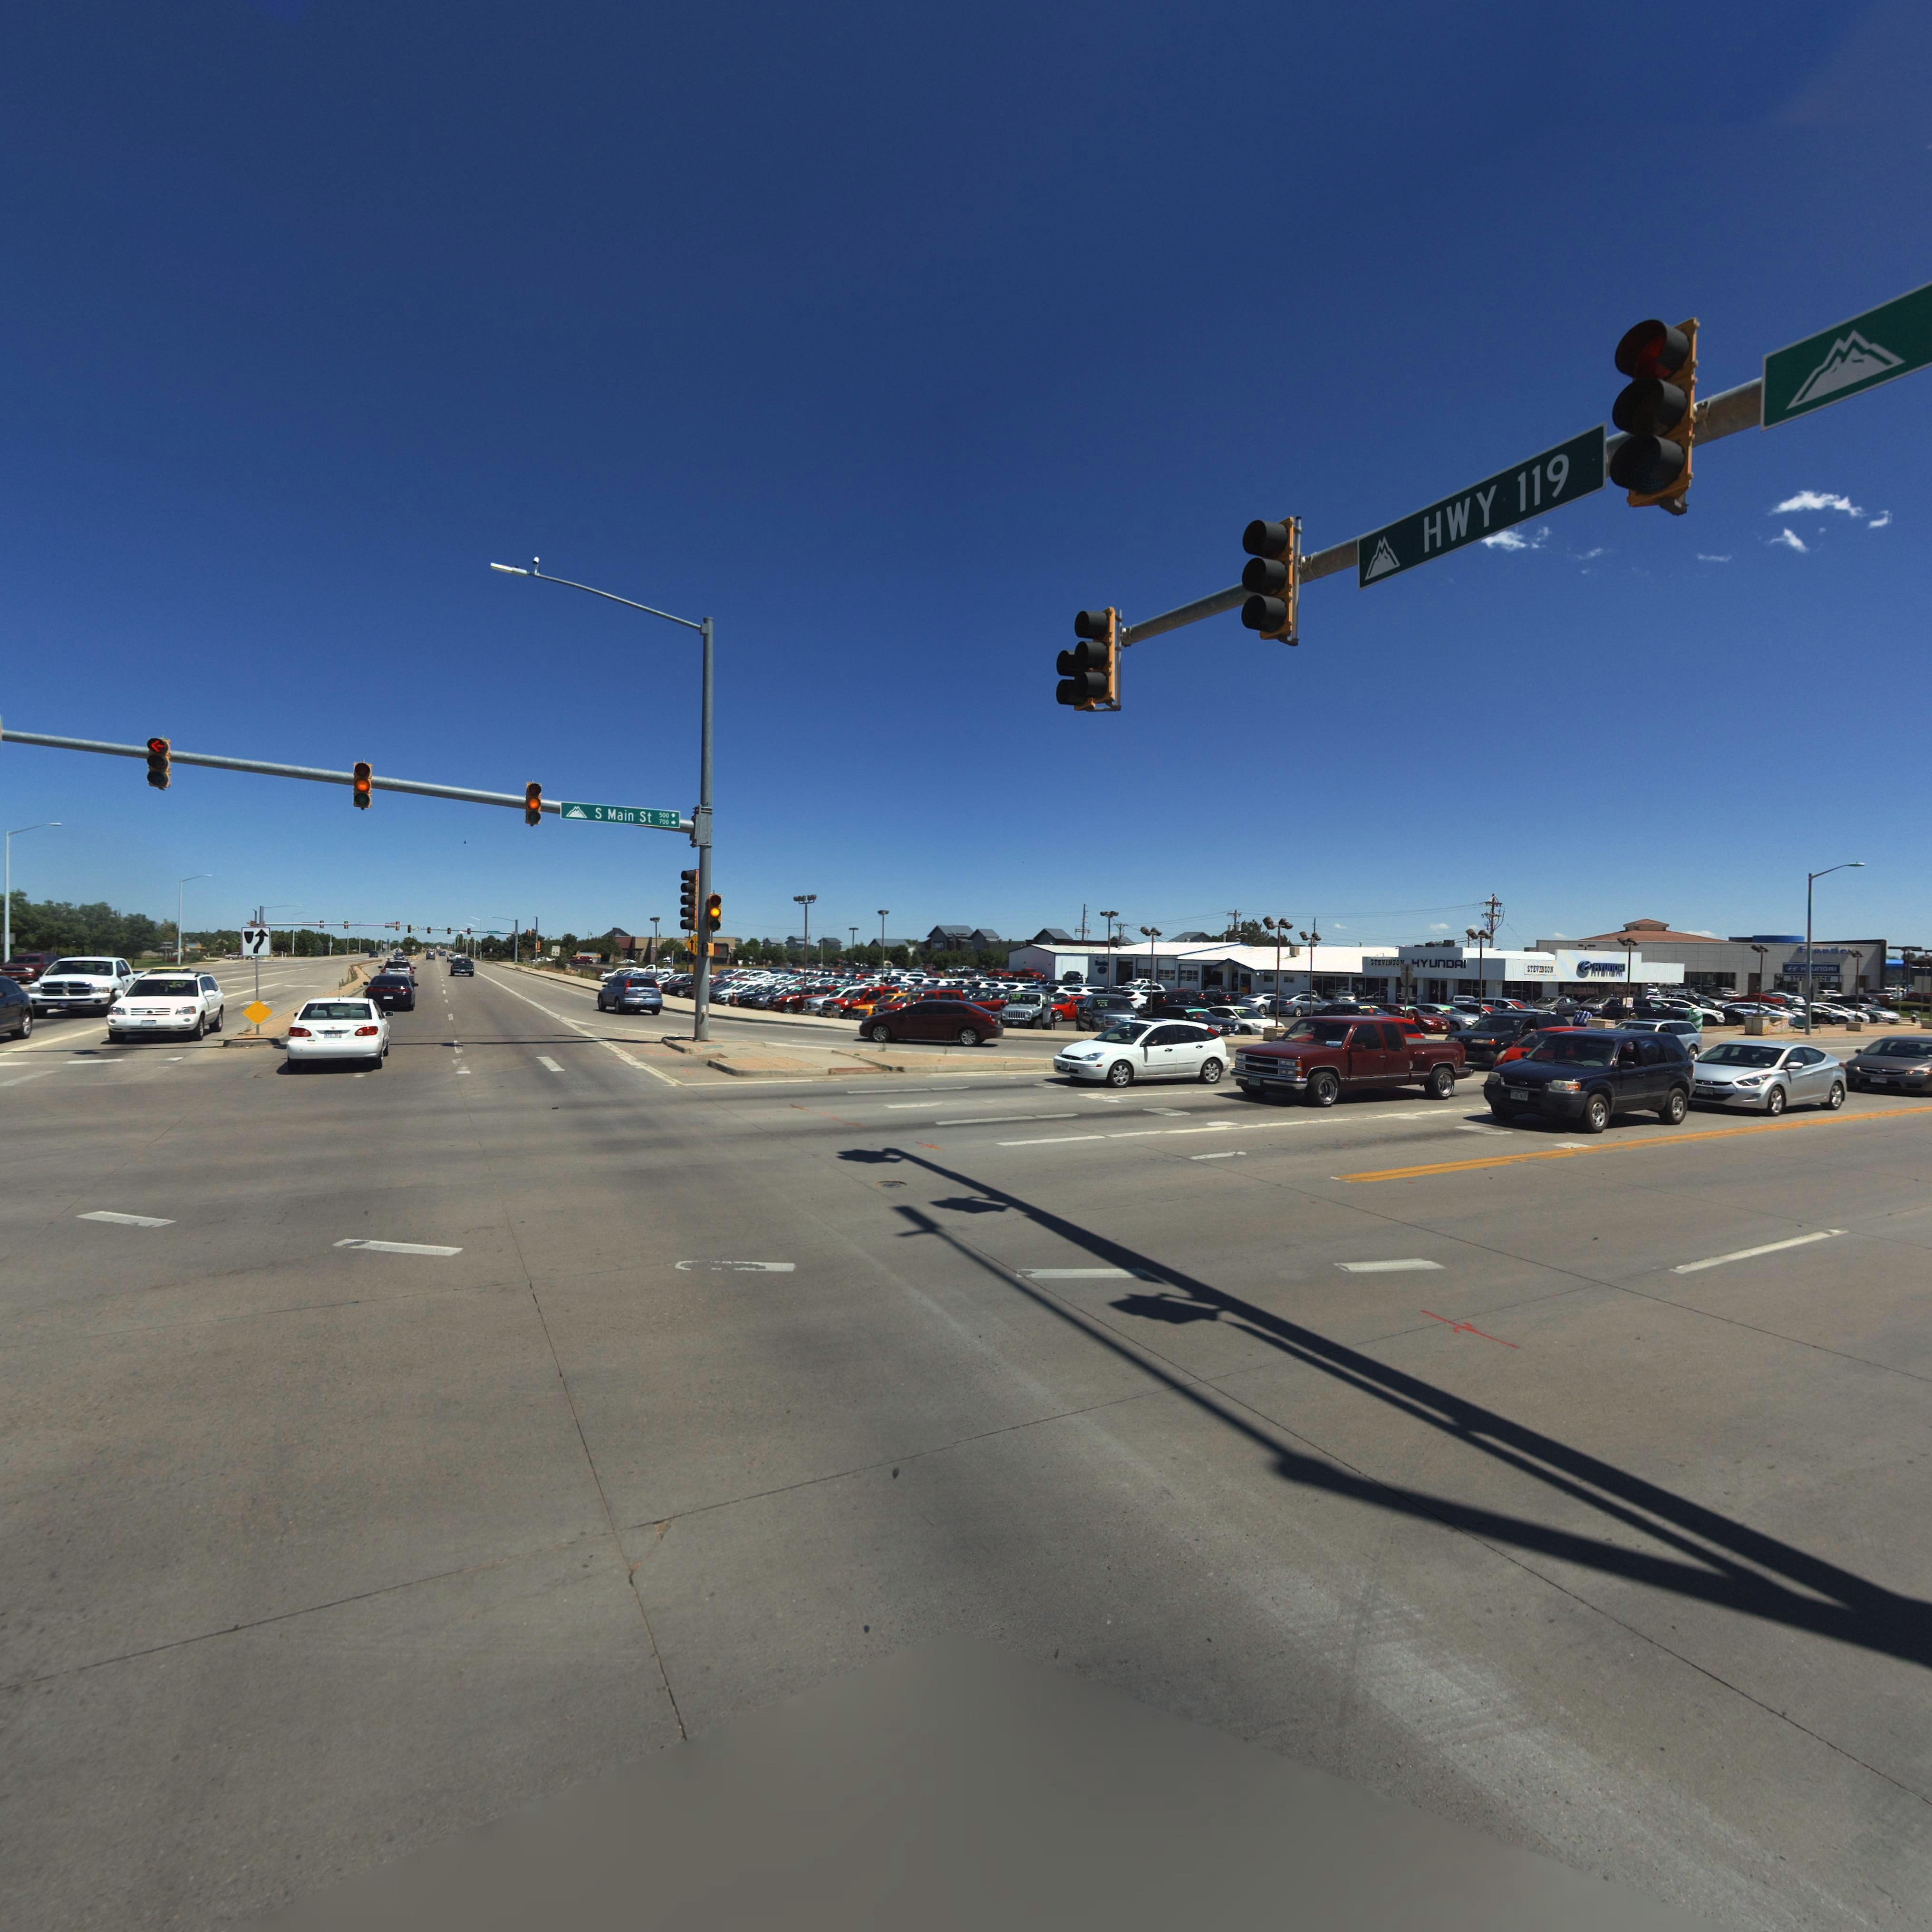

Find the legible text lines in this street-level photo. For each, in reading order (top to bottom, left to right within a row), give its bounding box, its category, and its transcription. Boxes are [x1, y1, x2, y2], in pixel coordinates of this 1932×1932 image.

[1421, 451, 1572, 555] StreetName: HWY 119
[595, 806, 652, 823] StreetName: S Main St
[658, 811, 670, 819] StreetNumberRange: 500
[659, 818, 676, 825] StreetNumberRange: 700 ->
[1796, 944, 1852, 955] BusinessName: F*on***
[1411, 958, 1466, 968] BusinessName: HYunDAI
[1593, 963, 1624, 972] StreetName: HYunDAI
[1800, 965, 1837, 972] BusinessName: H*UnDAI
[1789, 976, 1831, 981] BusinessName: ST*****ON